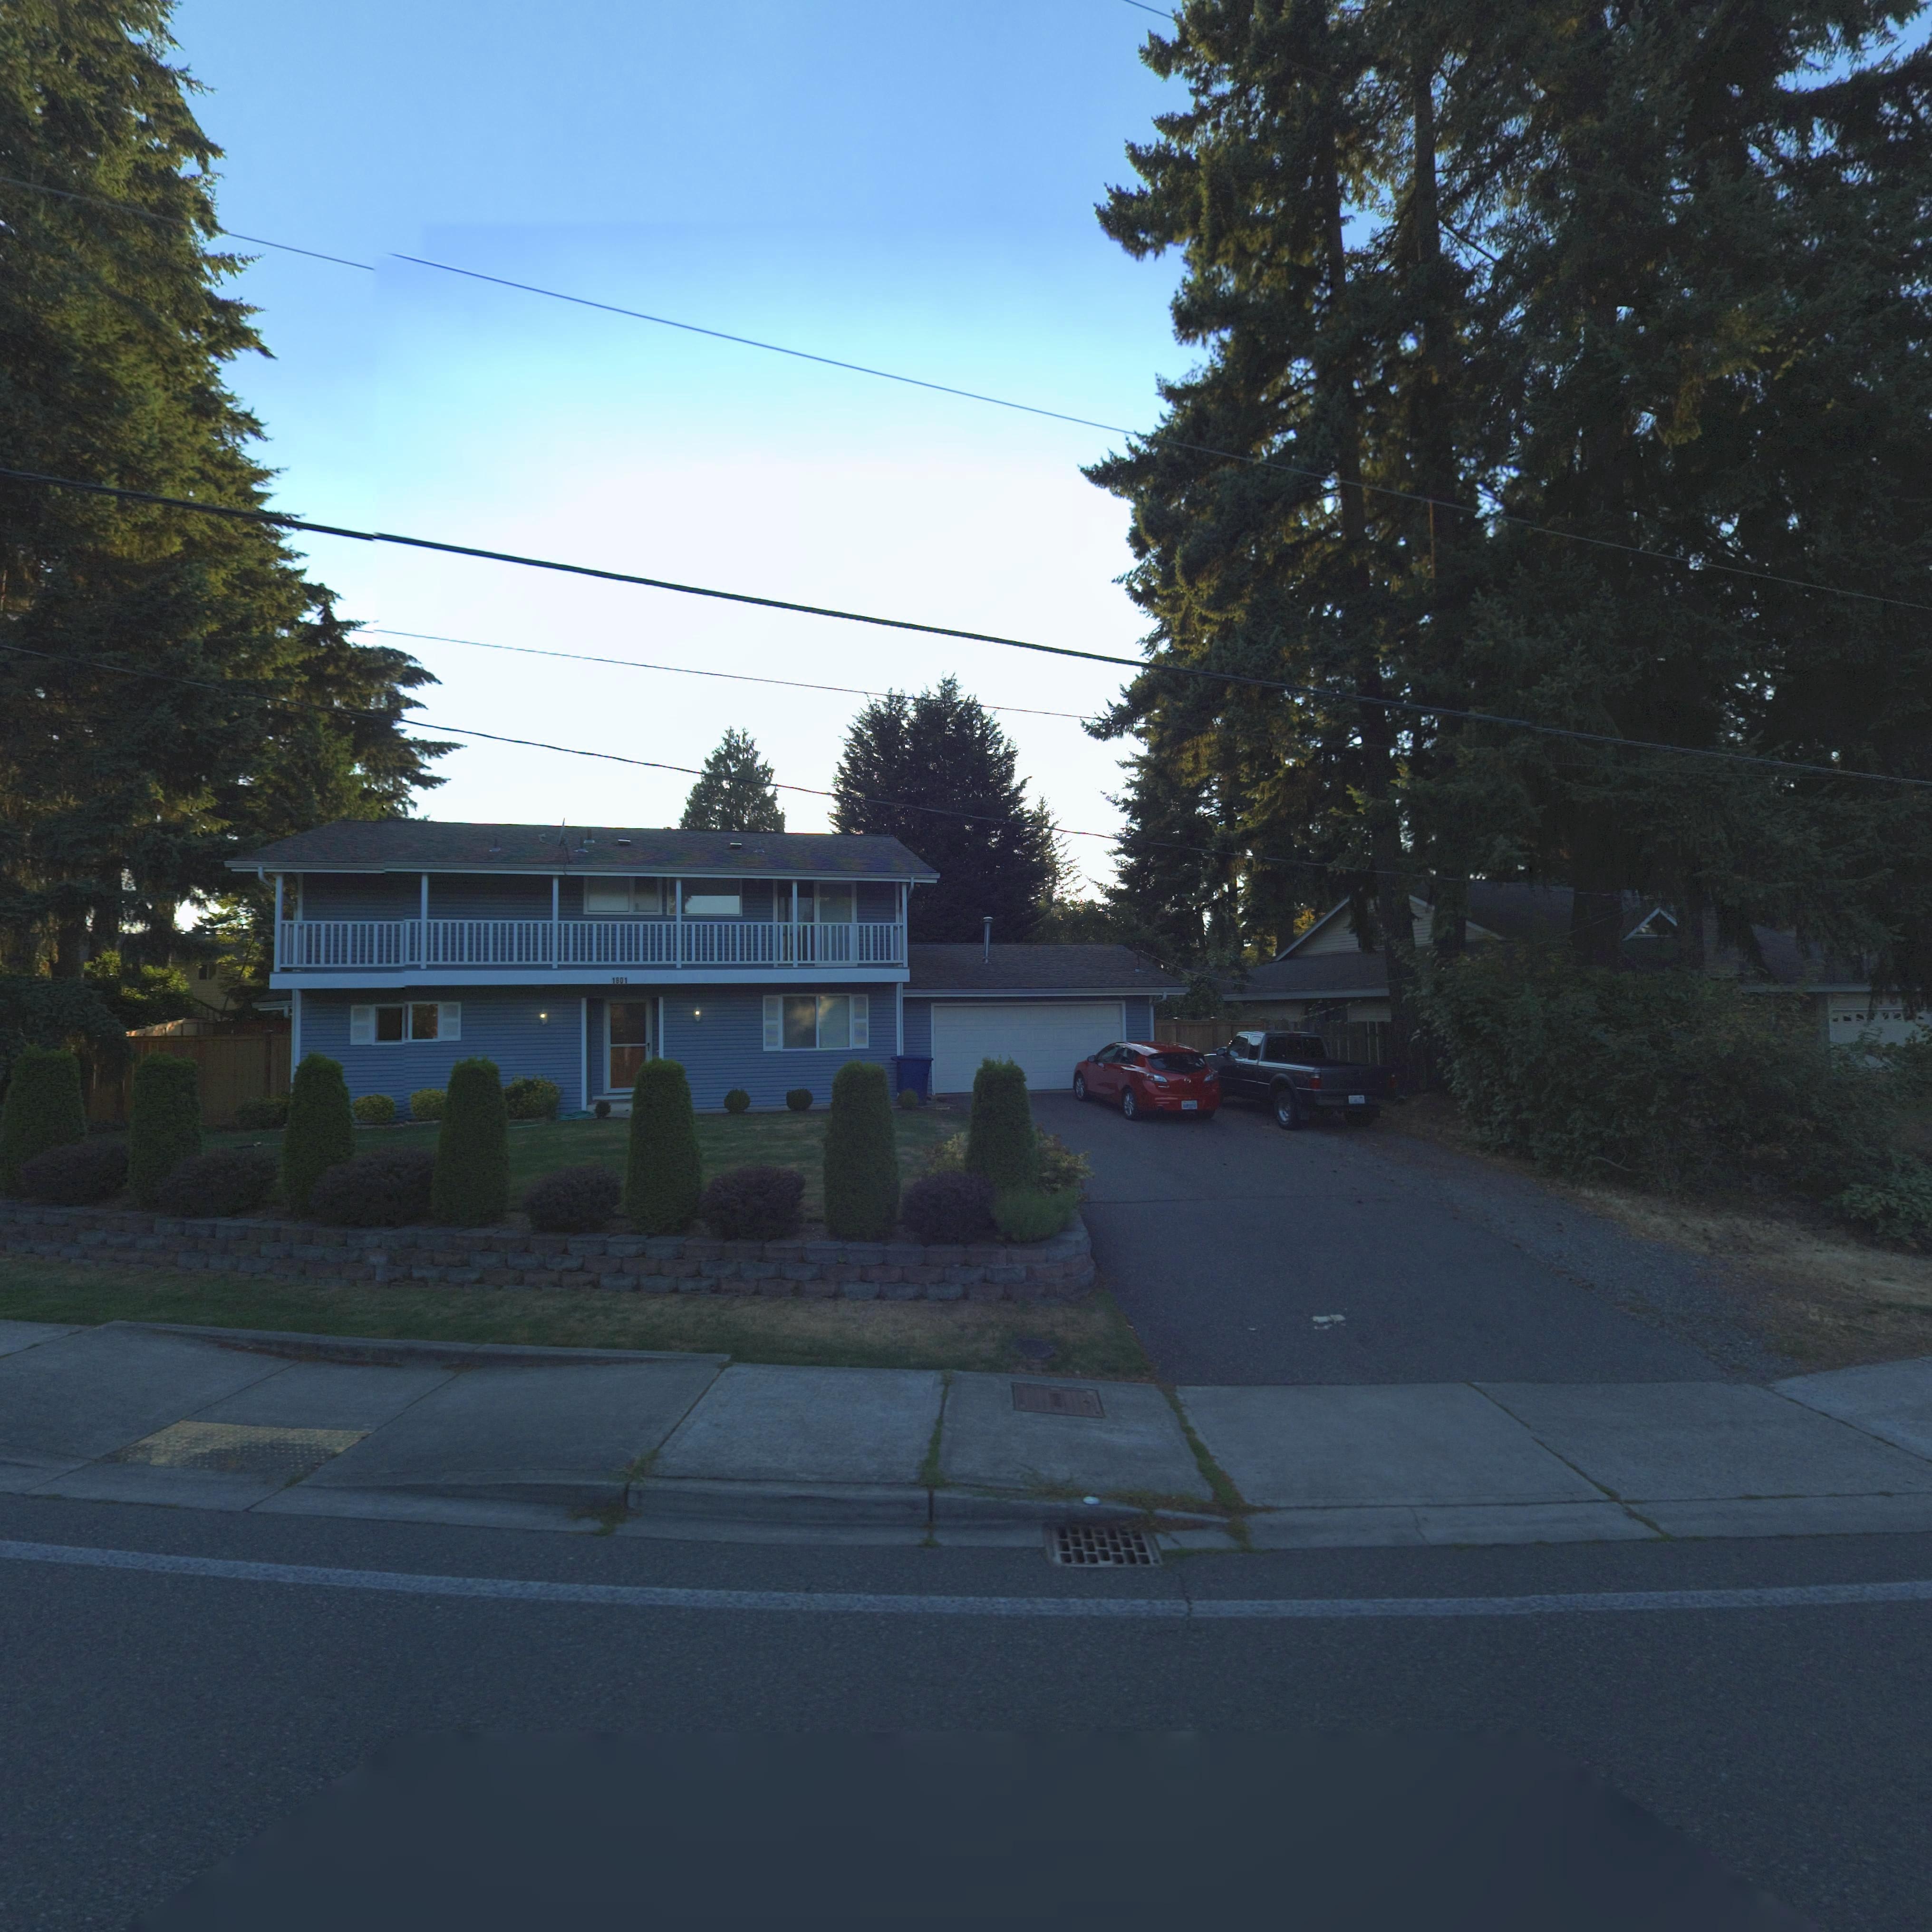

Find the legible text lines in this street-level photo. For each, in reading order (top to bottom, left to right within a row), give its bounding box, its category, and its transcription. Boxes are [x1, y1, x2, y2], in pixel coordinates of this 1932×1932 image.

[612, 977, 627, 983] StreetNumber: 1801